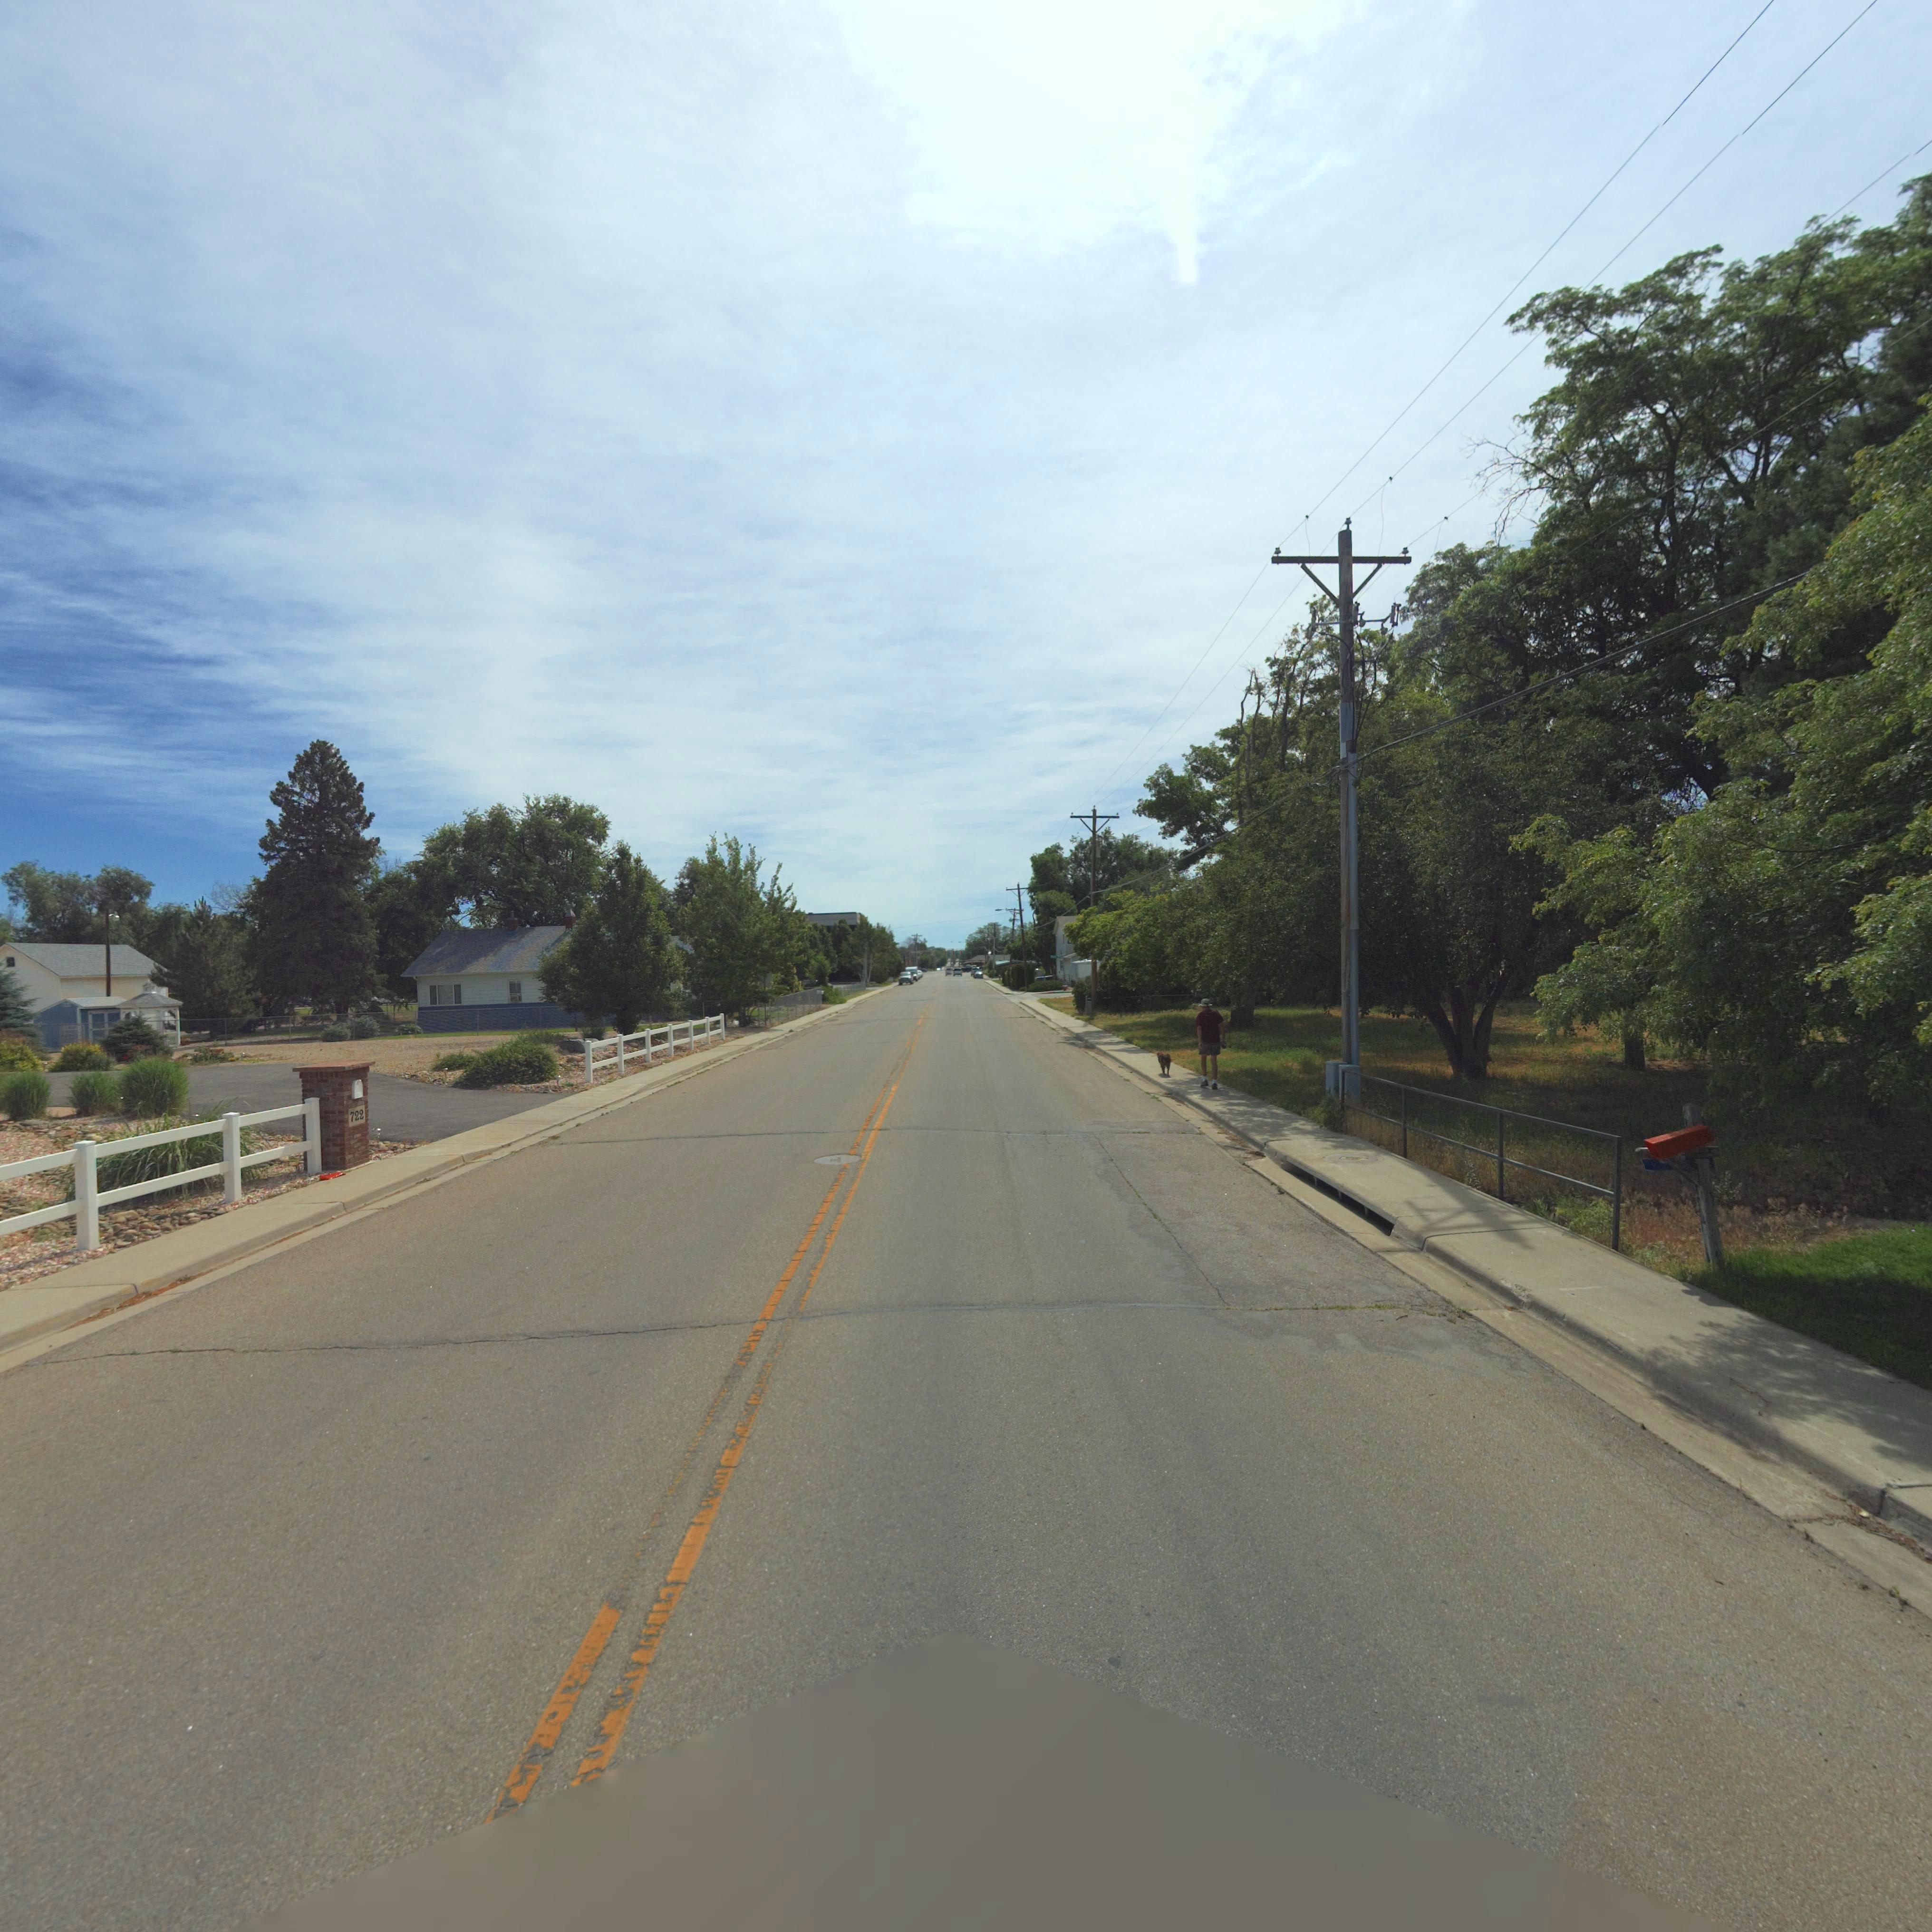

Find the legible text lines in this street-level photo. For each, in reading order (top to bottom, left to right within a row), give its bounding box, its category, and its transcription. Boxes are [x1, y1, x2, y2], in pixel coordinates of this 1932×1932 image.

[349, 1109, 364, 1123] StreetNumber: 722